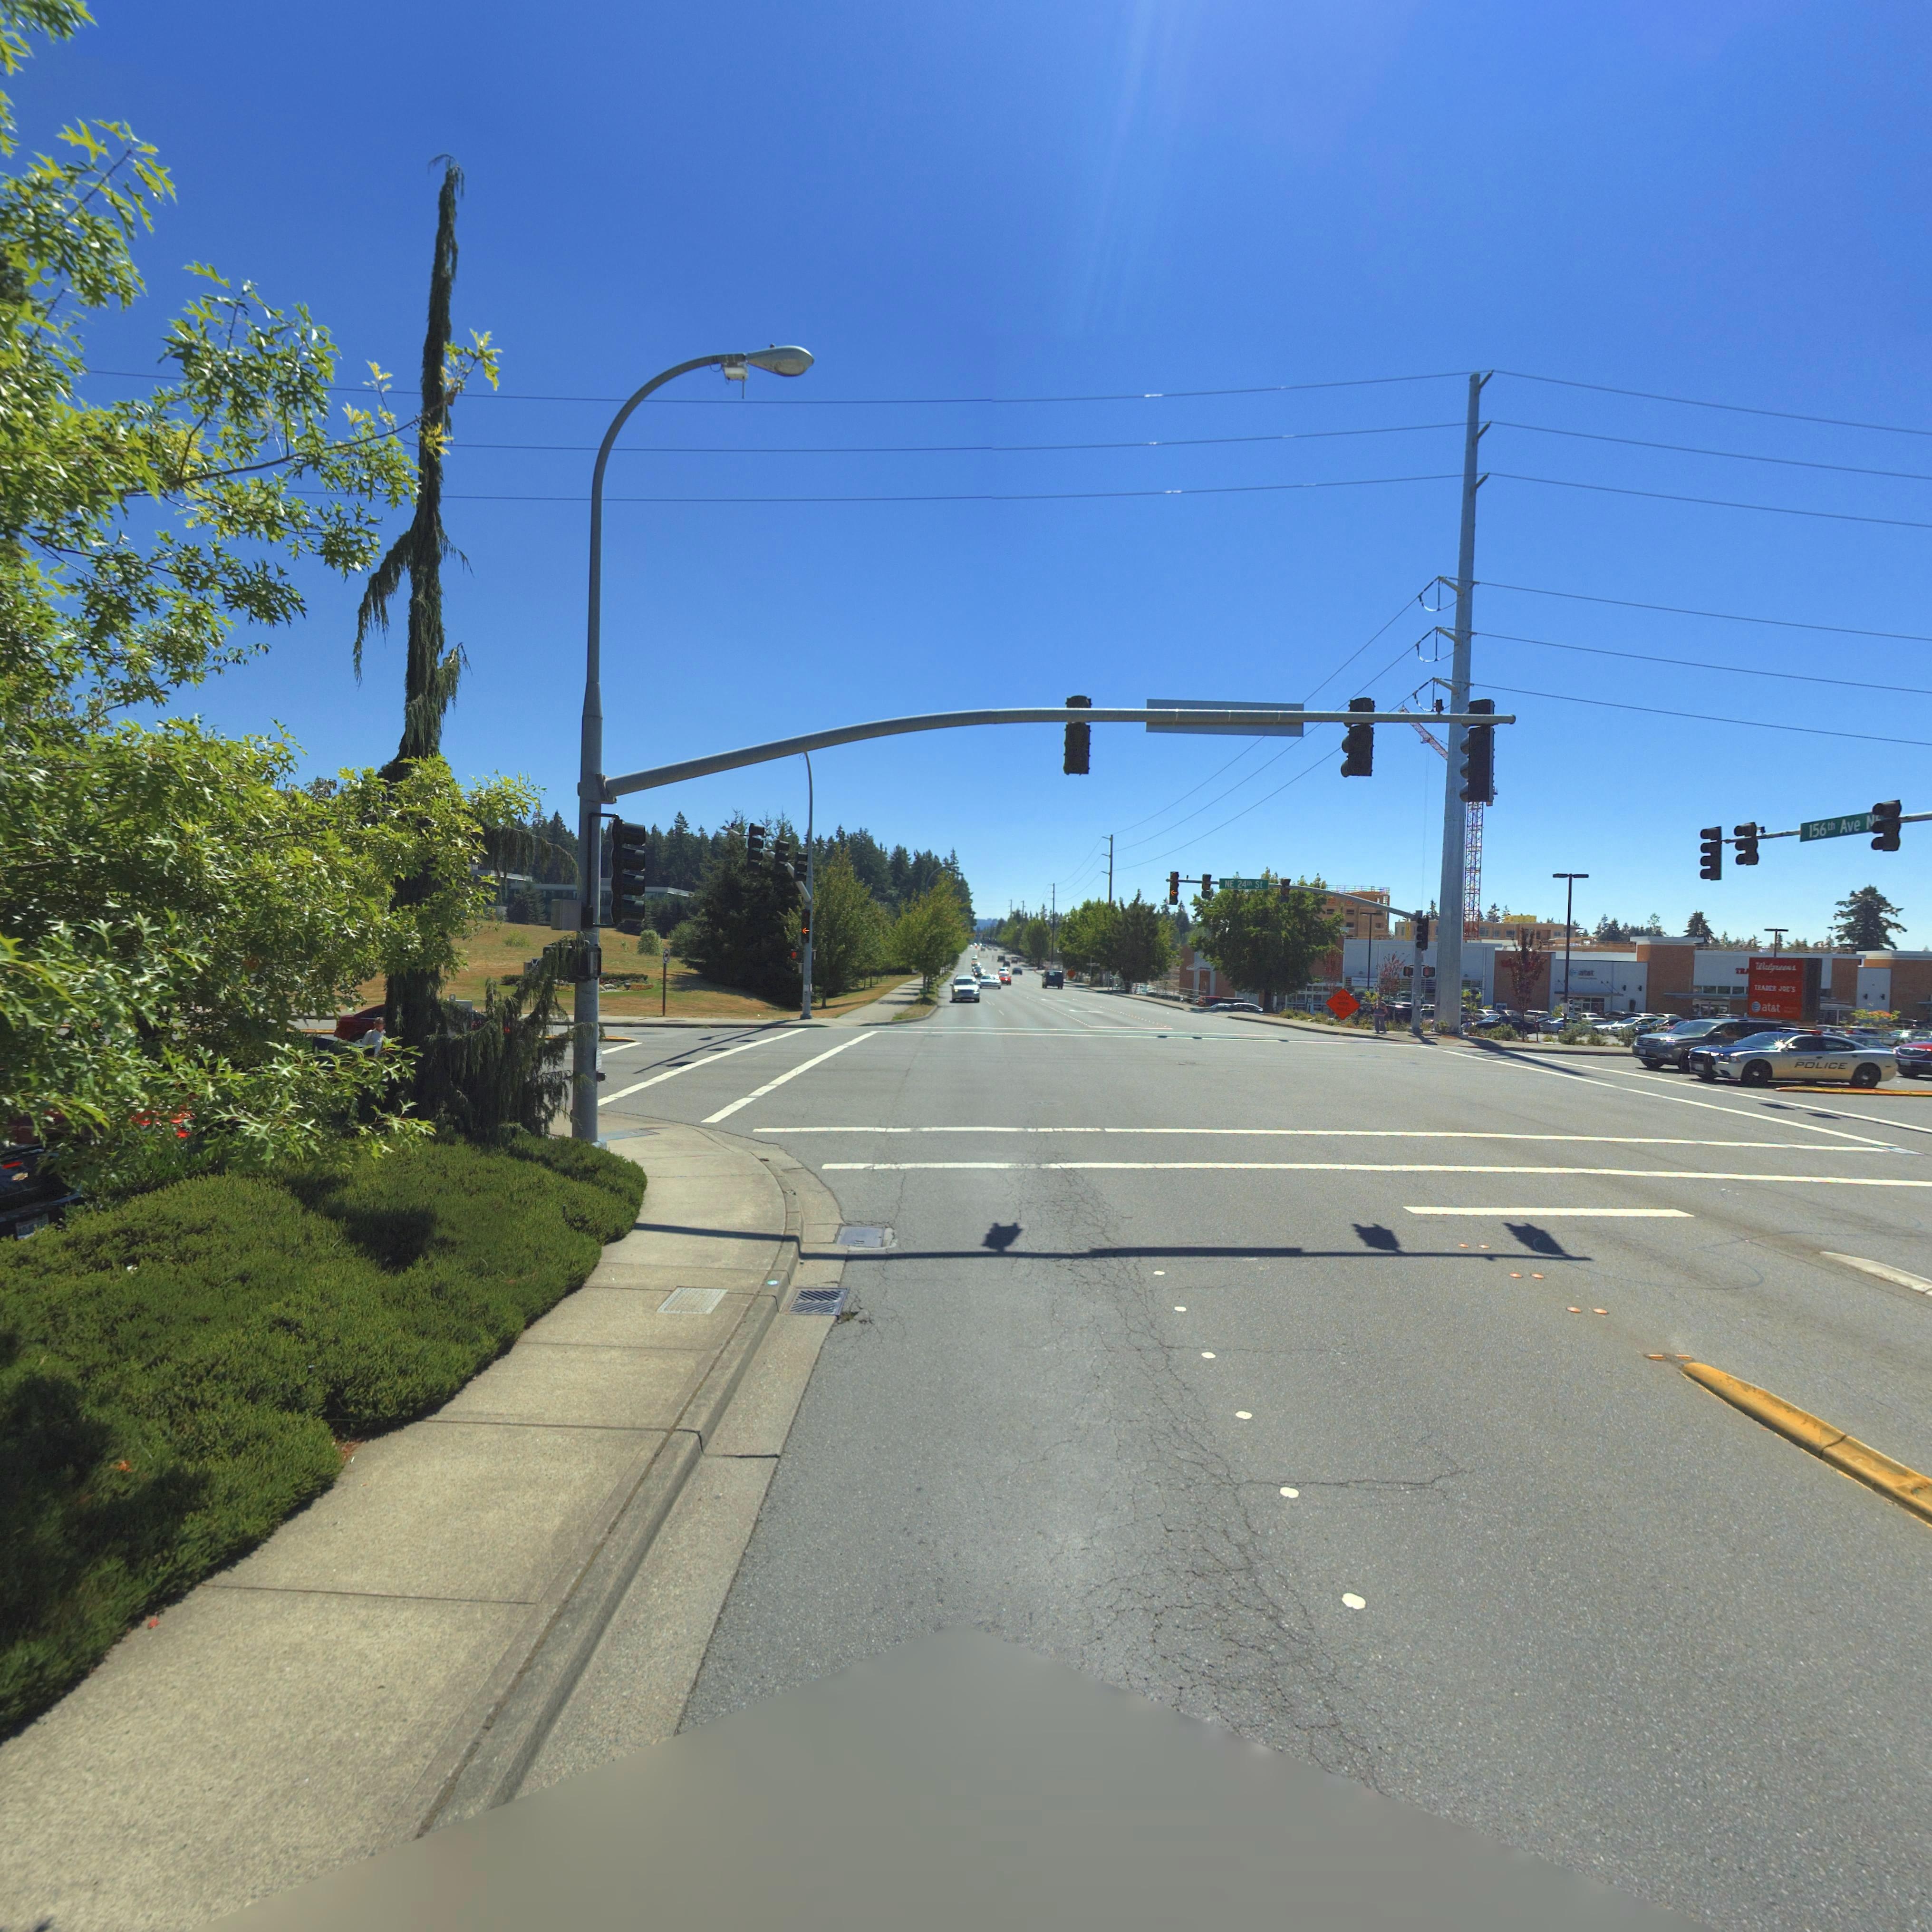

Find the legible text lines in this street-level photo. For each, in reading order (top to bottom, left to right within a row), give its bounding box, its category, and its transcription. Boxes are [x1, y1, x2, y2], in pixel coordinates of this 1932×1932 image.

[1809, 818, 1862, 838] StreetName: 156th Ave
[1224, 879, 1263, 888] StreetName: NE 24th St
[1755, 962, 1796, 973] BusinessName: Walgreens
[1578, 969, 1594, 976] BusinessName: at*t
[1754, 985, 1796, 992] BusinessName: TRADER JOE*S
[1762, 1002, 1780, 1012] BusinessName: at*t